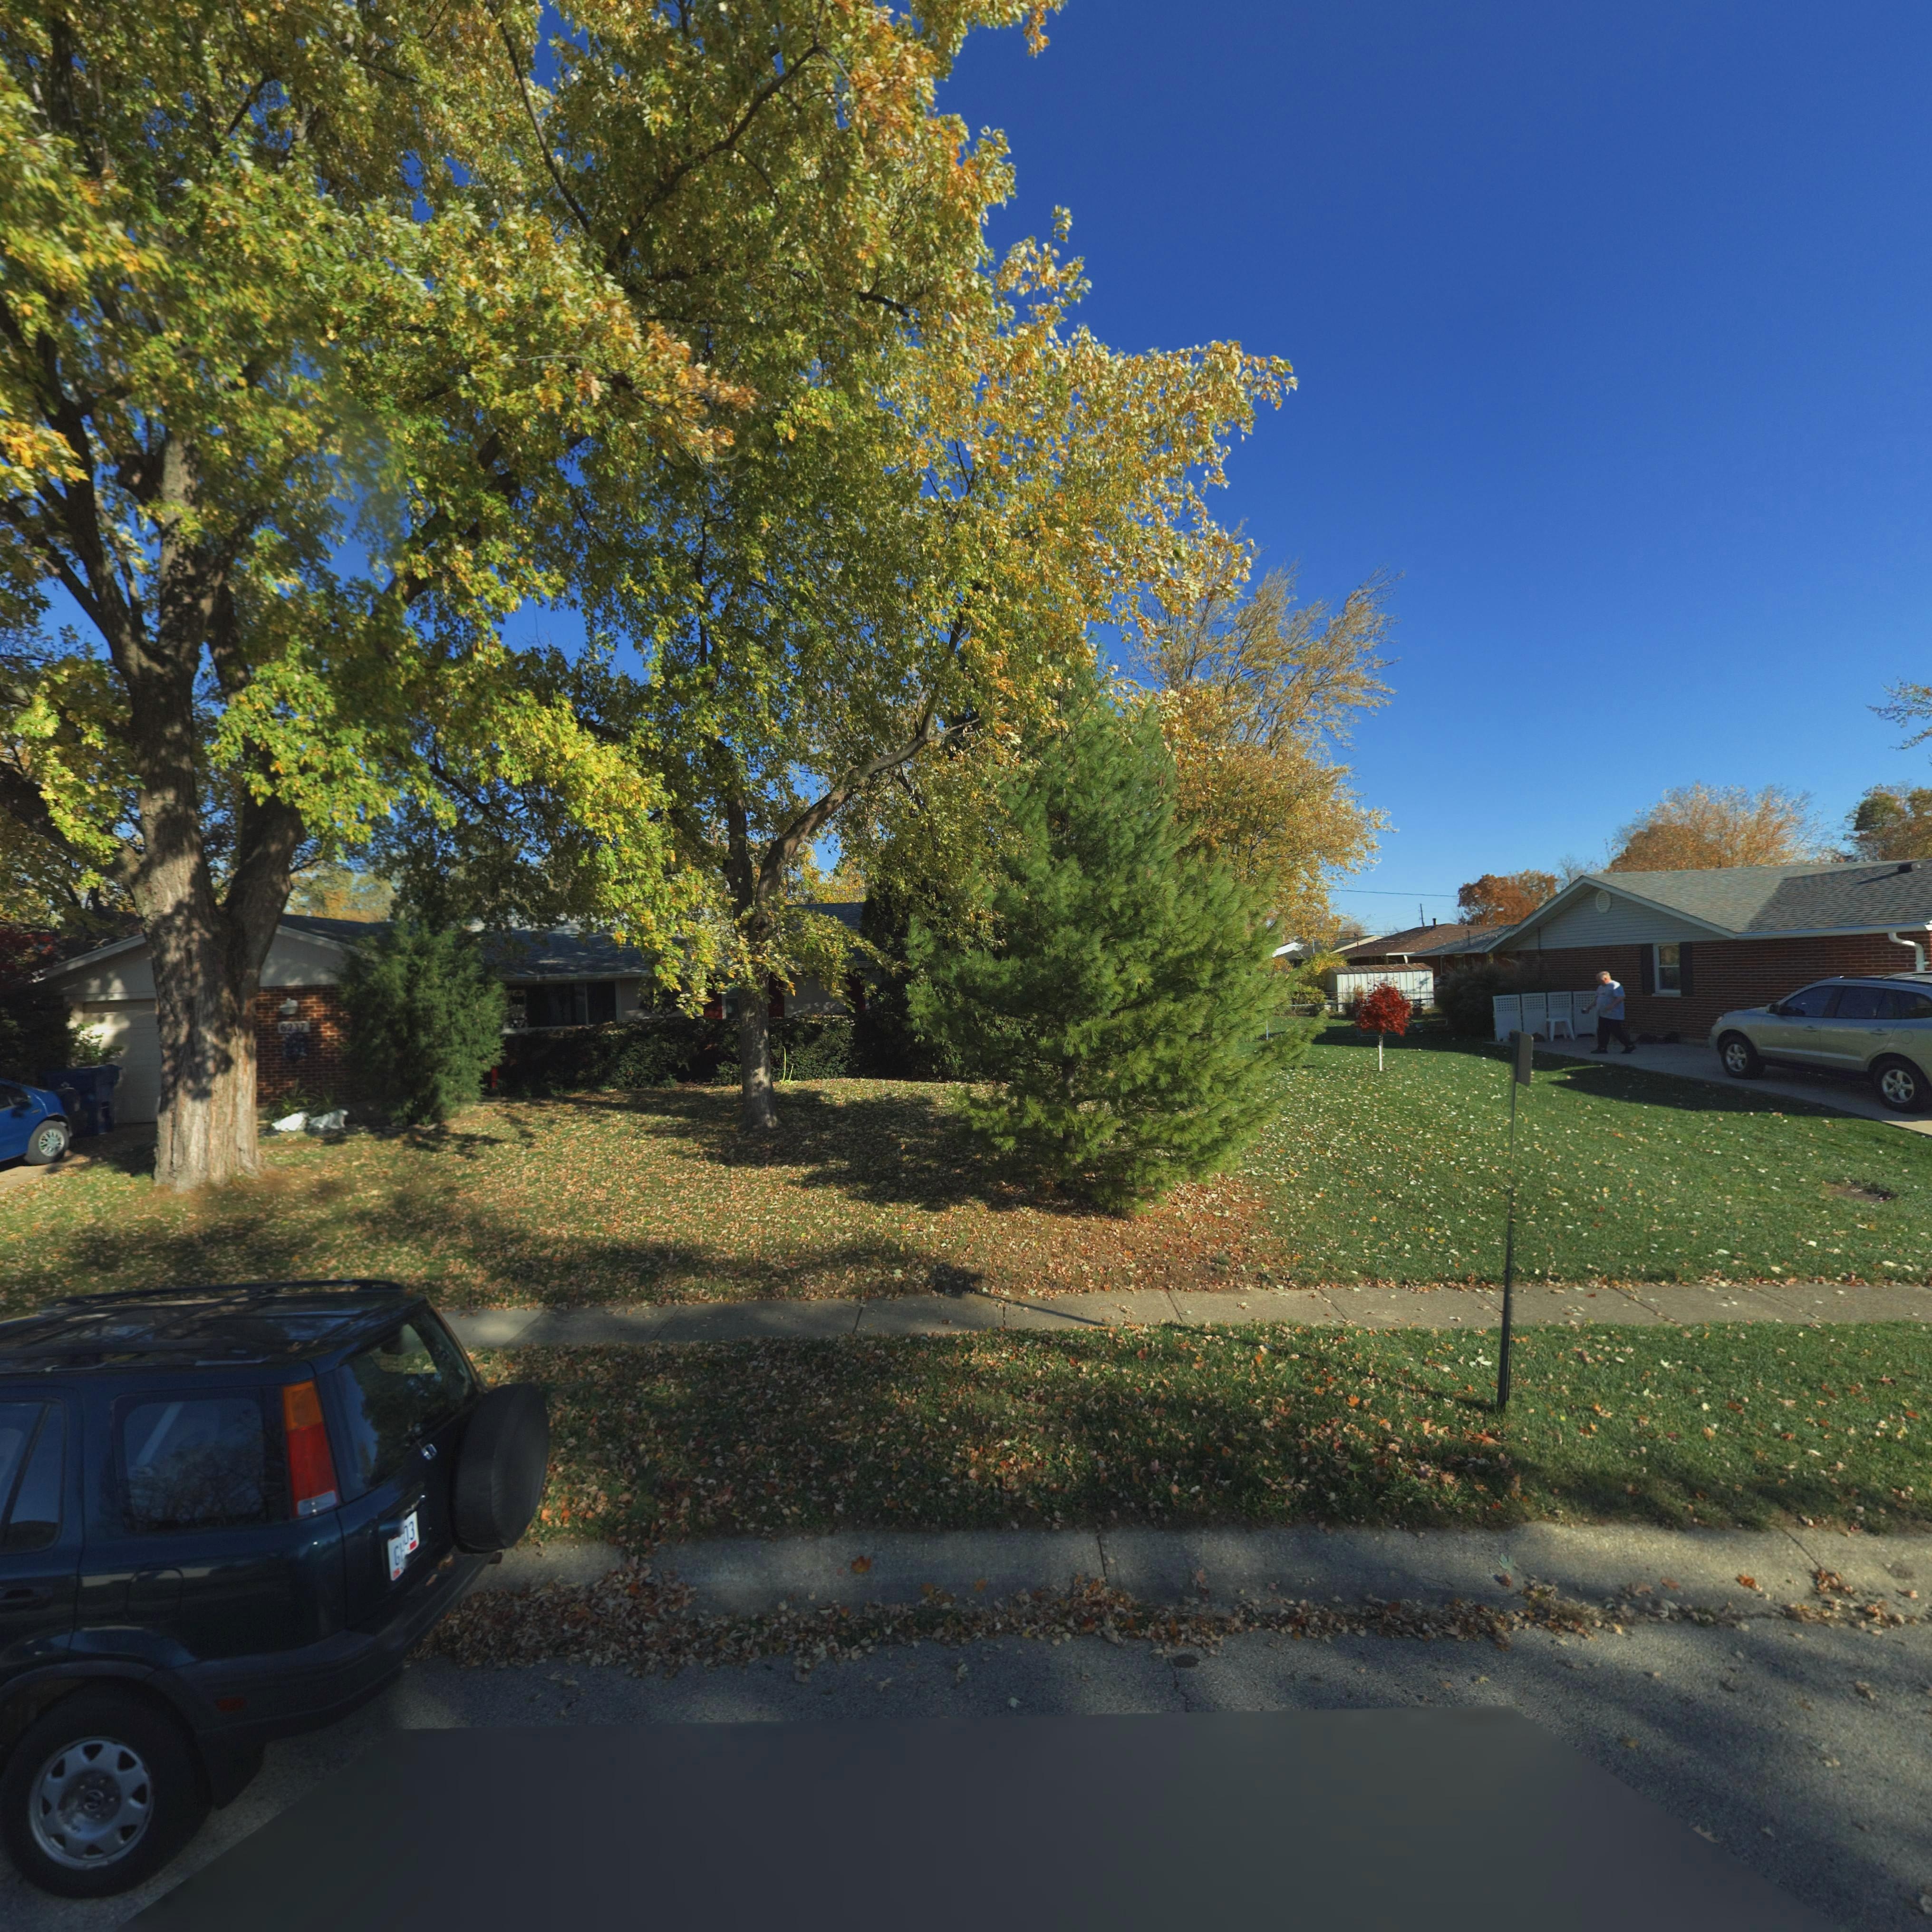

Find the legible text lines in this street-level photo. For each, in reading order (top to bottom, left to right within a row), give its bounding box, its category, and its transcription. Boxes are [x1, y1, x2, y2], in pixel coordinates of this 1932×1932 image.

[280, 1023, 307, 1033] StreetNumber: 6237